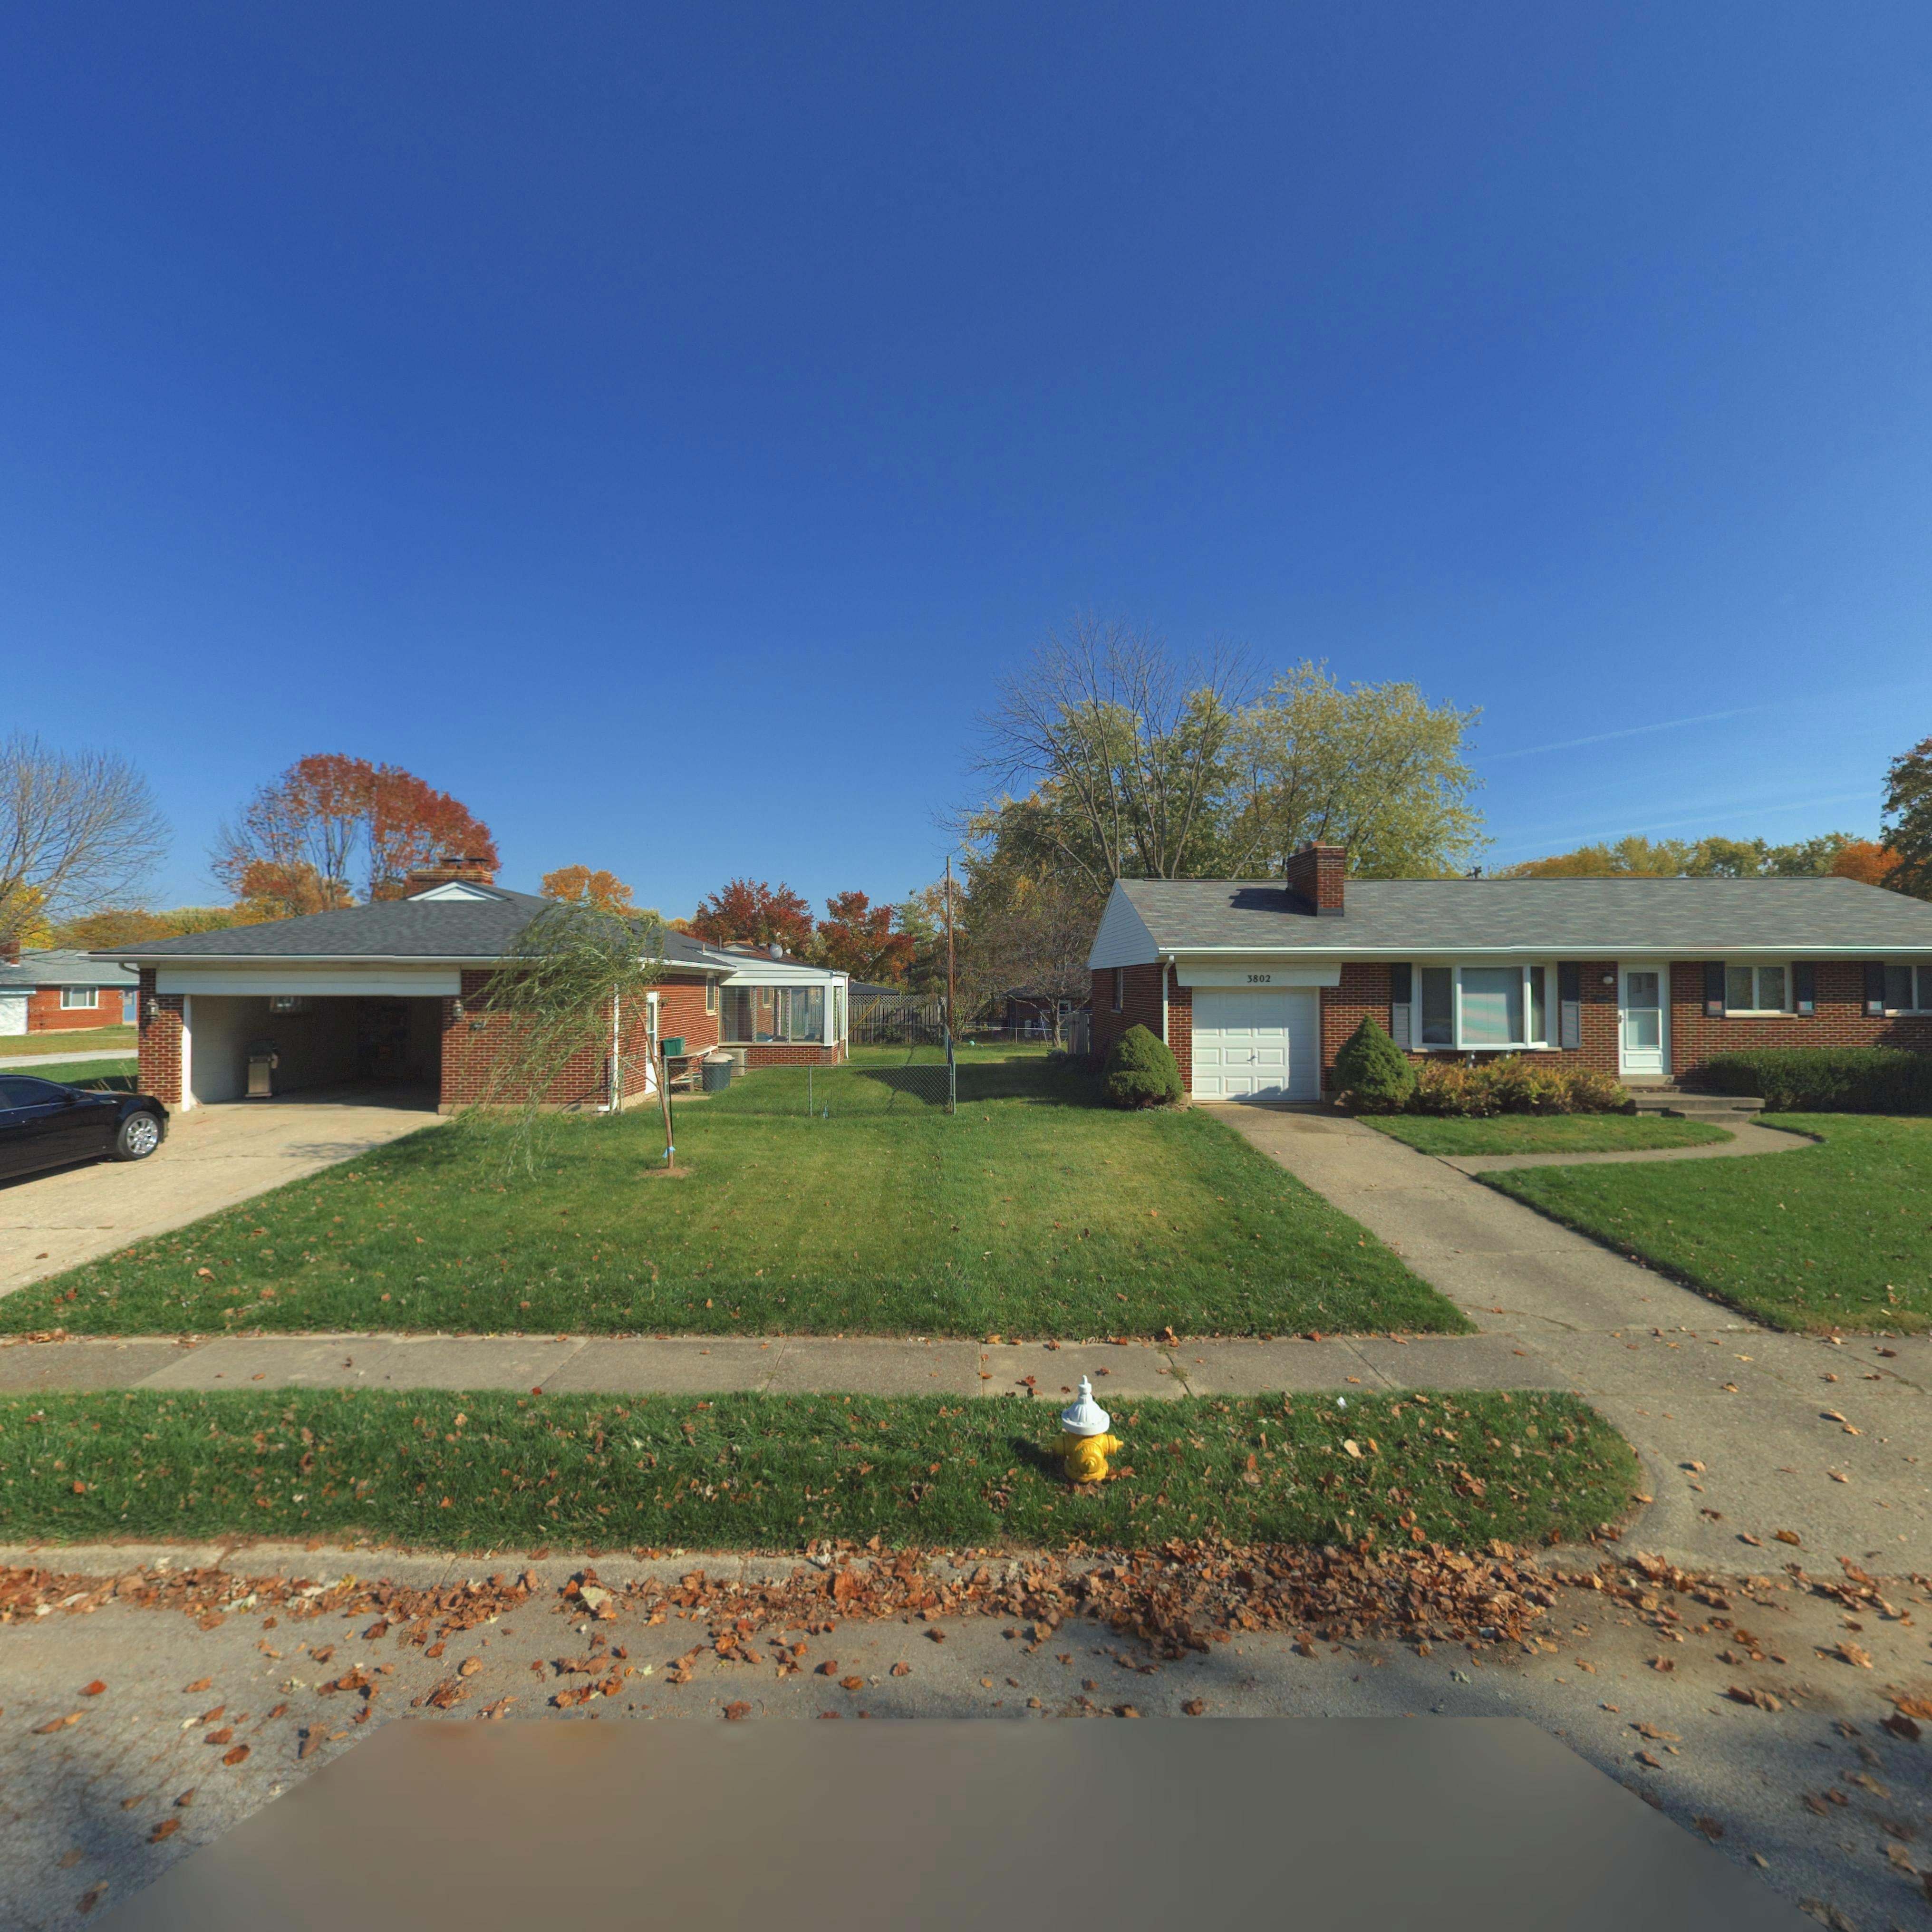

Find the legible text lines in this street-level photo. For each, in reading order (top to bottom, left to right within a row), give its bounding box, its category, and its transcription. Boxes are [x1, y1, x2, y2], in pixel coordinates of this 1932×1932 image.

[1246, 974, 1271, 983] StreetNumber: 3802